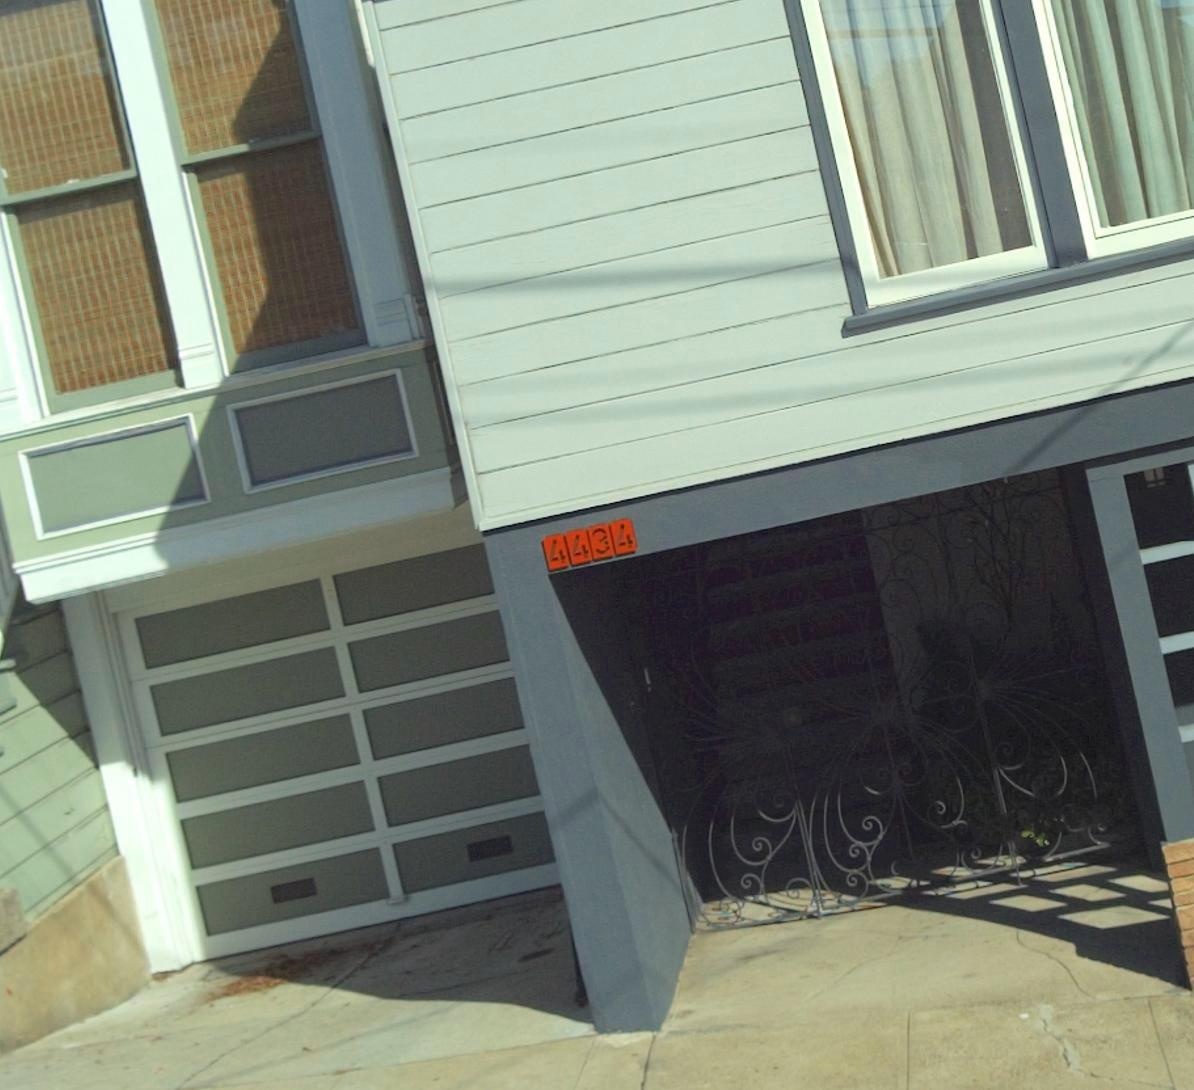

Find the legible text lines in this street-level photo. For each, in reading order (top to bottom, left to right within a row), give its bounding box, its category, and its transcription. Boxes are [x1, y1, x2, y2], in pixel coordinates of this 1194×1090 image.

[543, 519, 636, 570] StreetNumber: 4434